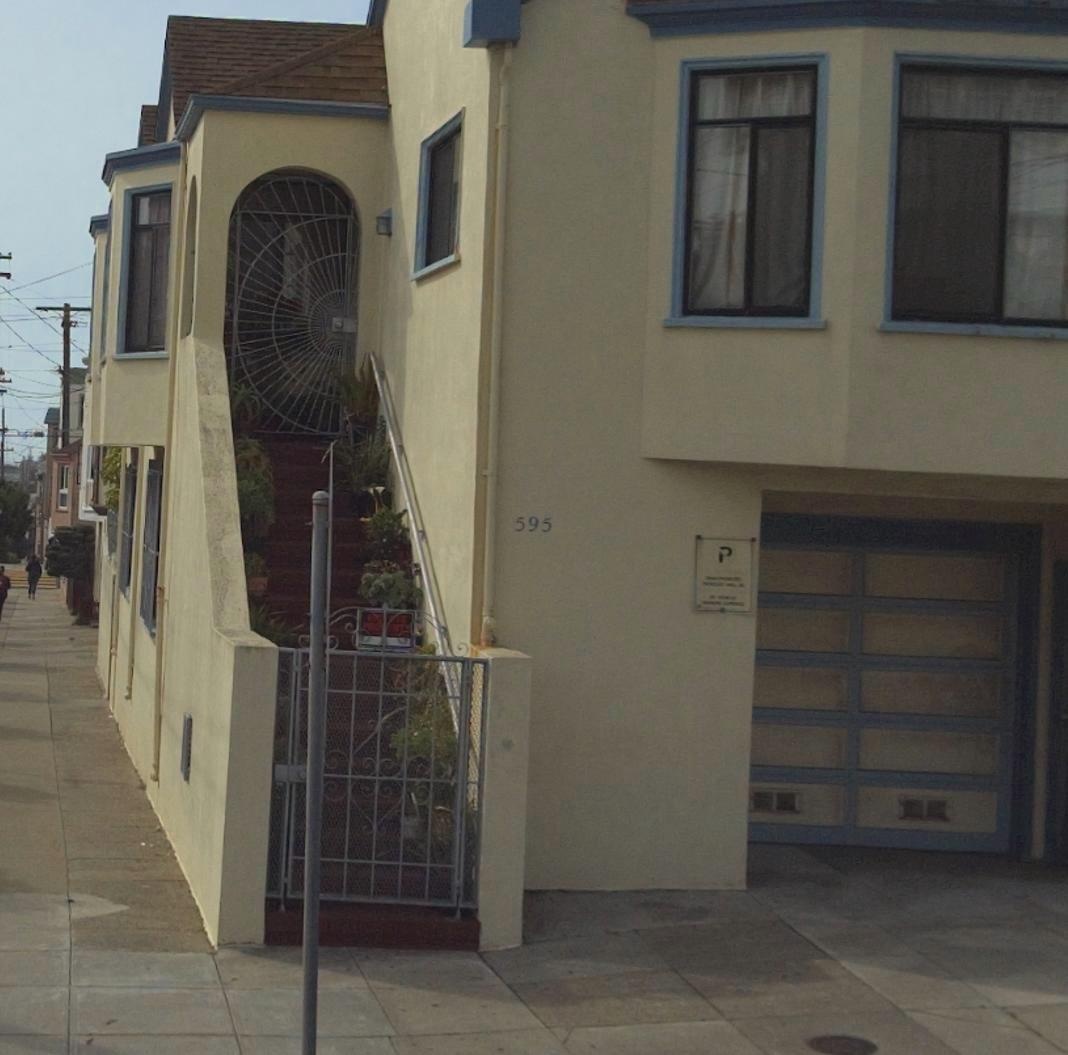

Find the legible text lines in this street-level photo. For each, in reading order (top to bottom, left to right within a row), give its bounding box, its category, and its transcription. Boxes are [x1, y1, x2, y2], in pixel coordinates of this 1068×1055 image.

[514, 514, 554, 534] StreetNumber: 595